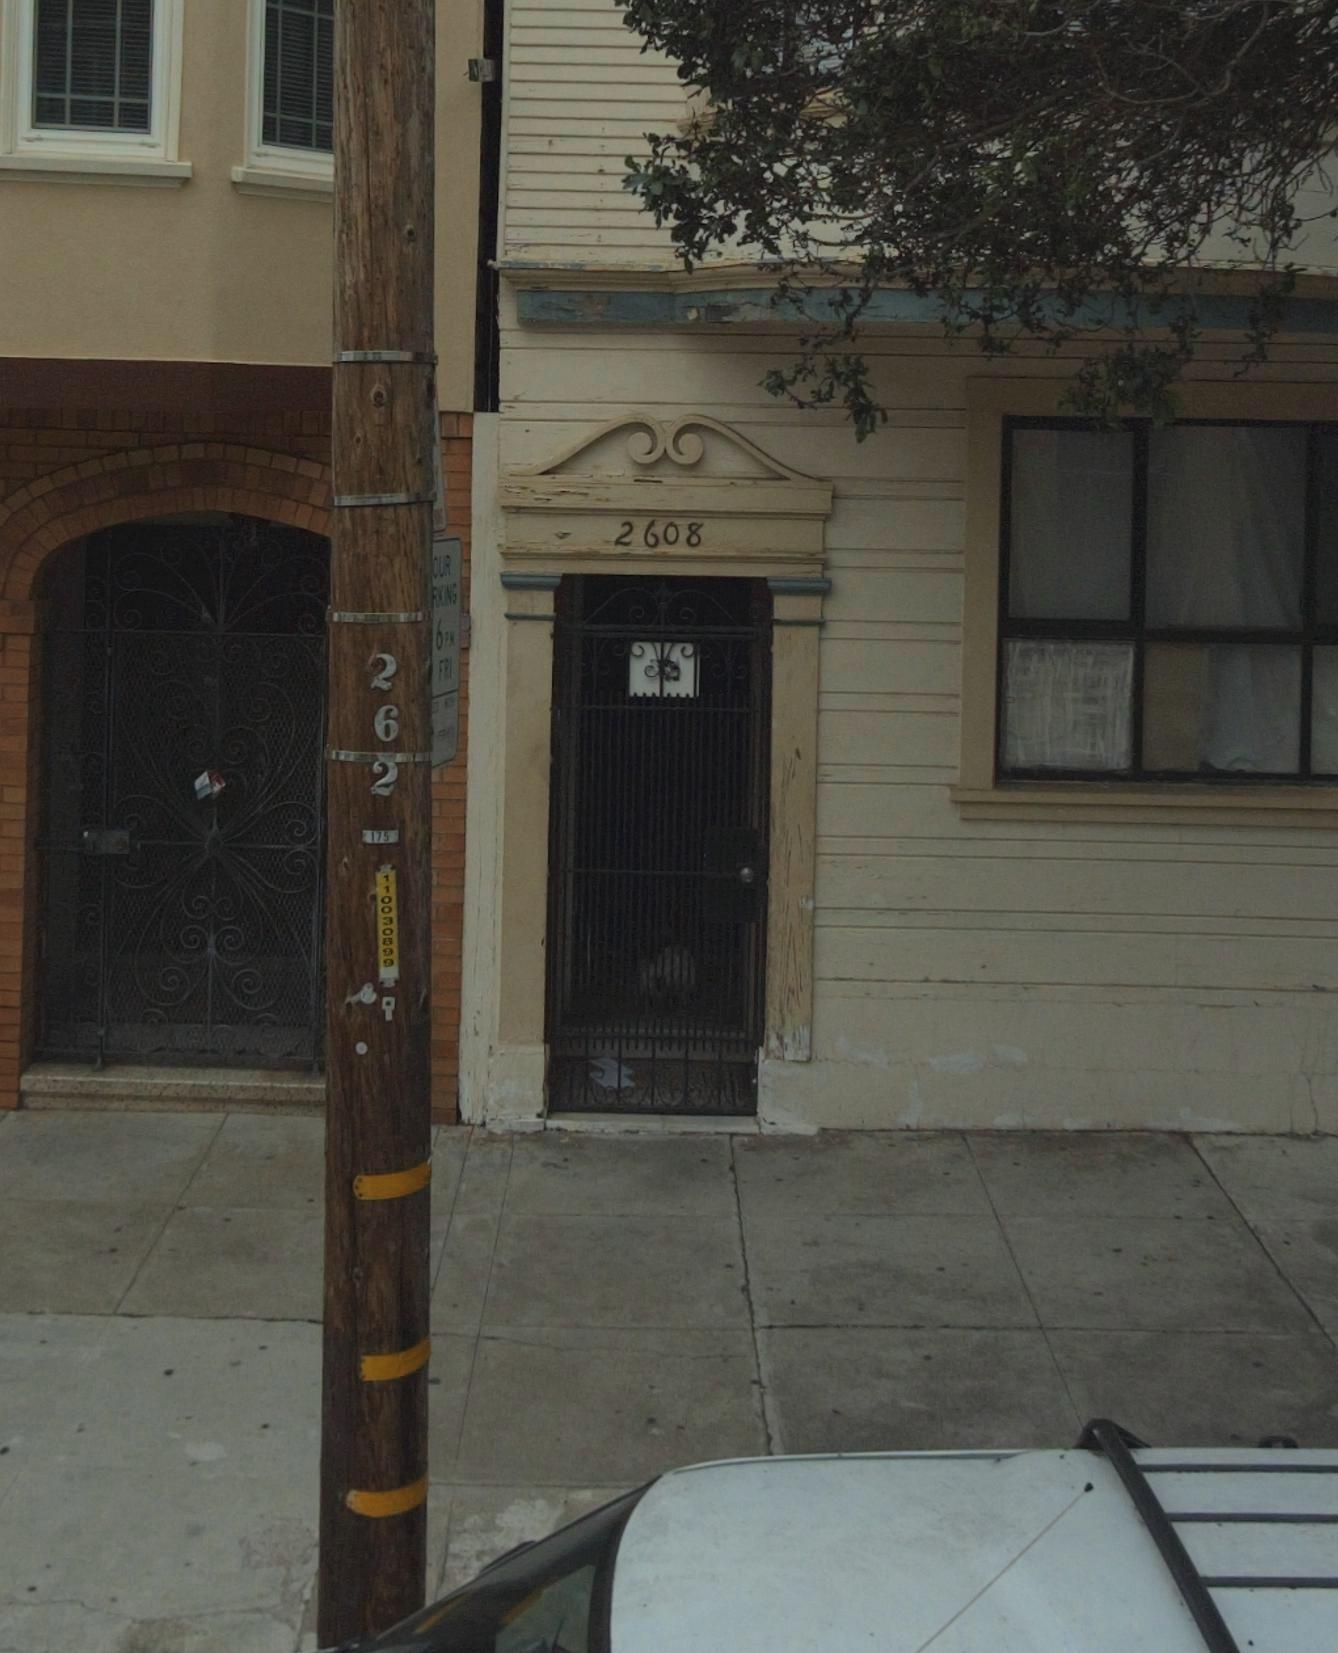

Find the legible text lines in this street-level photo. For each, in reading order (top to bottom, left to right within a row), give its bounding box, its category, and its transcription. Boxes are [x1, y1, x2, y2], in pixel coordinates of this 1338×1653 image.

[613, 517, 706, 549] StreetNumber: 2608
[431, 554, 452, 580] None: OUR
[436, 581, 458, 610] None: KING
[435, 617, 456, 653] None: 6PM
[437, 656, 453, 685] None: FRI
[366, 651, 402, 799] StreetNumber: 262
[368, 829, 391, 844] None: 175
[379, 872, 395, 969] None: 110030899